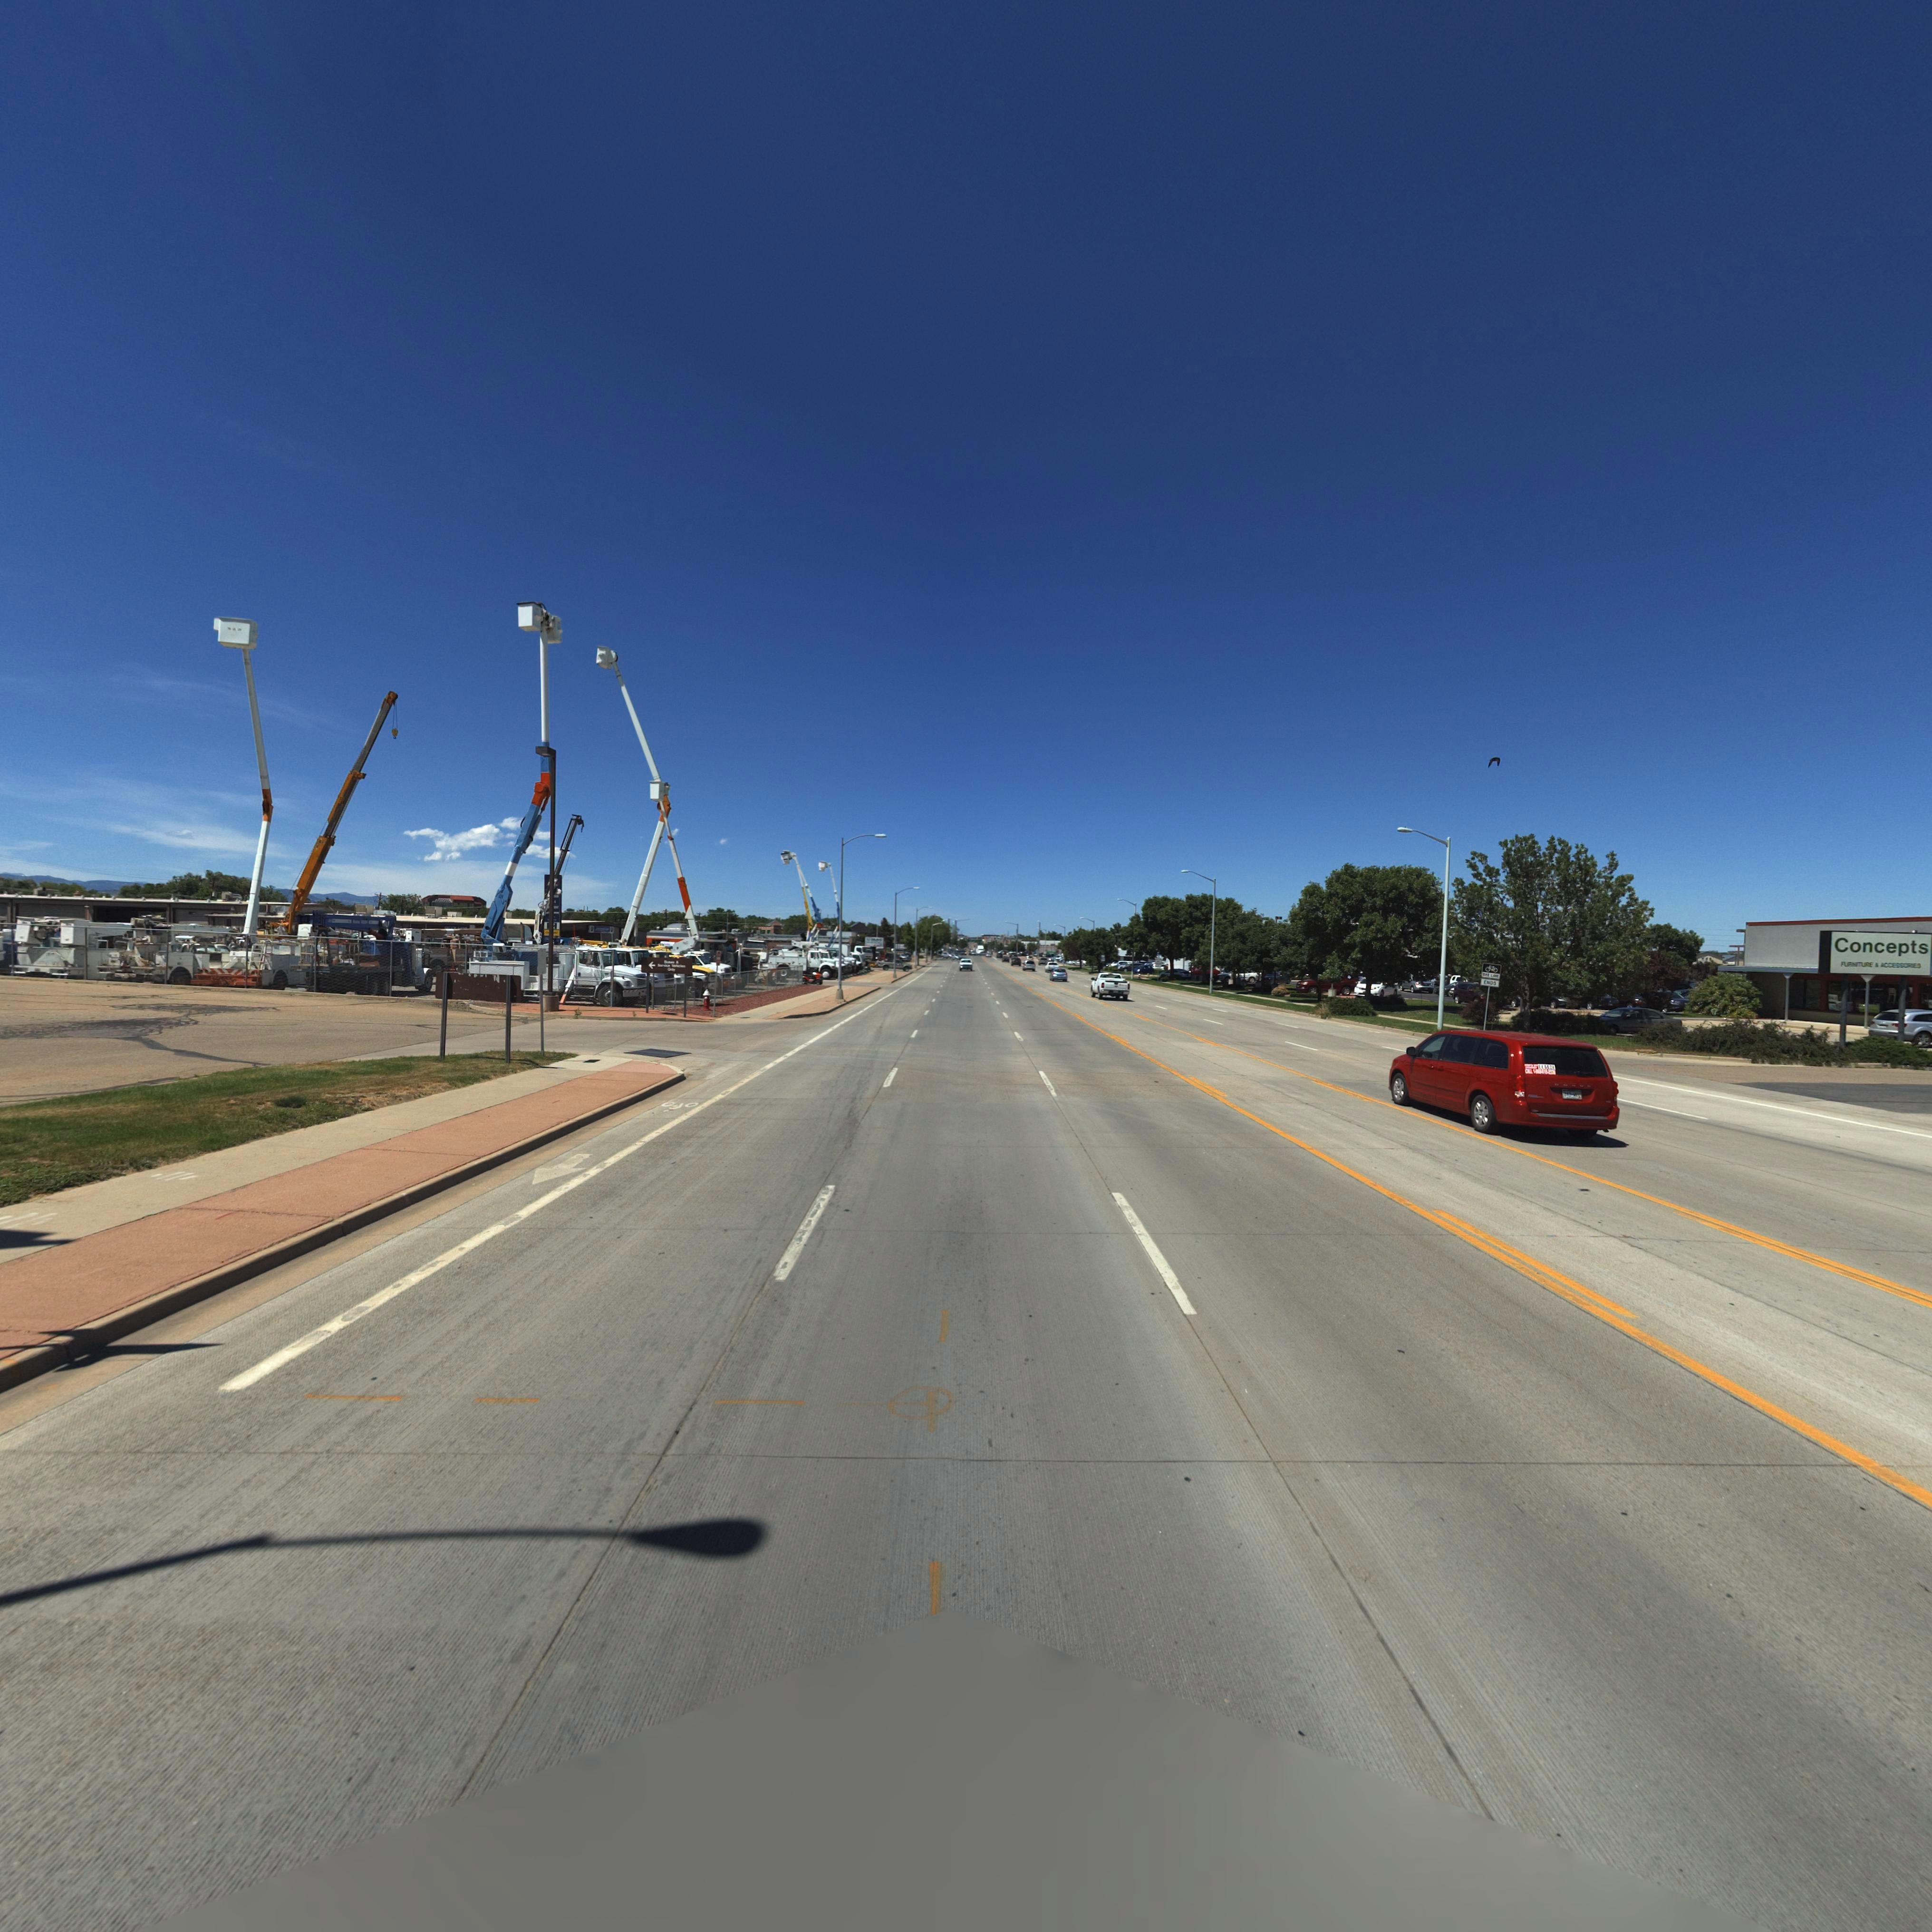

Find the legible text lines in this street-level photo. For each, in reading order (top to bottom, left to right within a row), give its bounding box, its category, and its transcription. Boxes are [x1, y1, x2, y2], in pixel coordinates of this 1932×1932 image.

[1834, 937, 1929, 956] BusinessName: Concepts